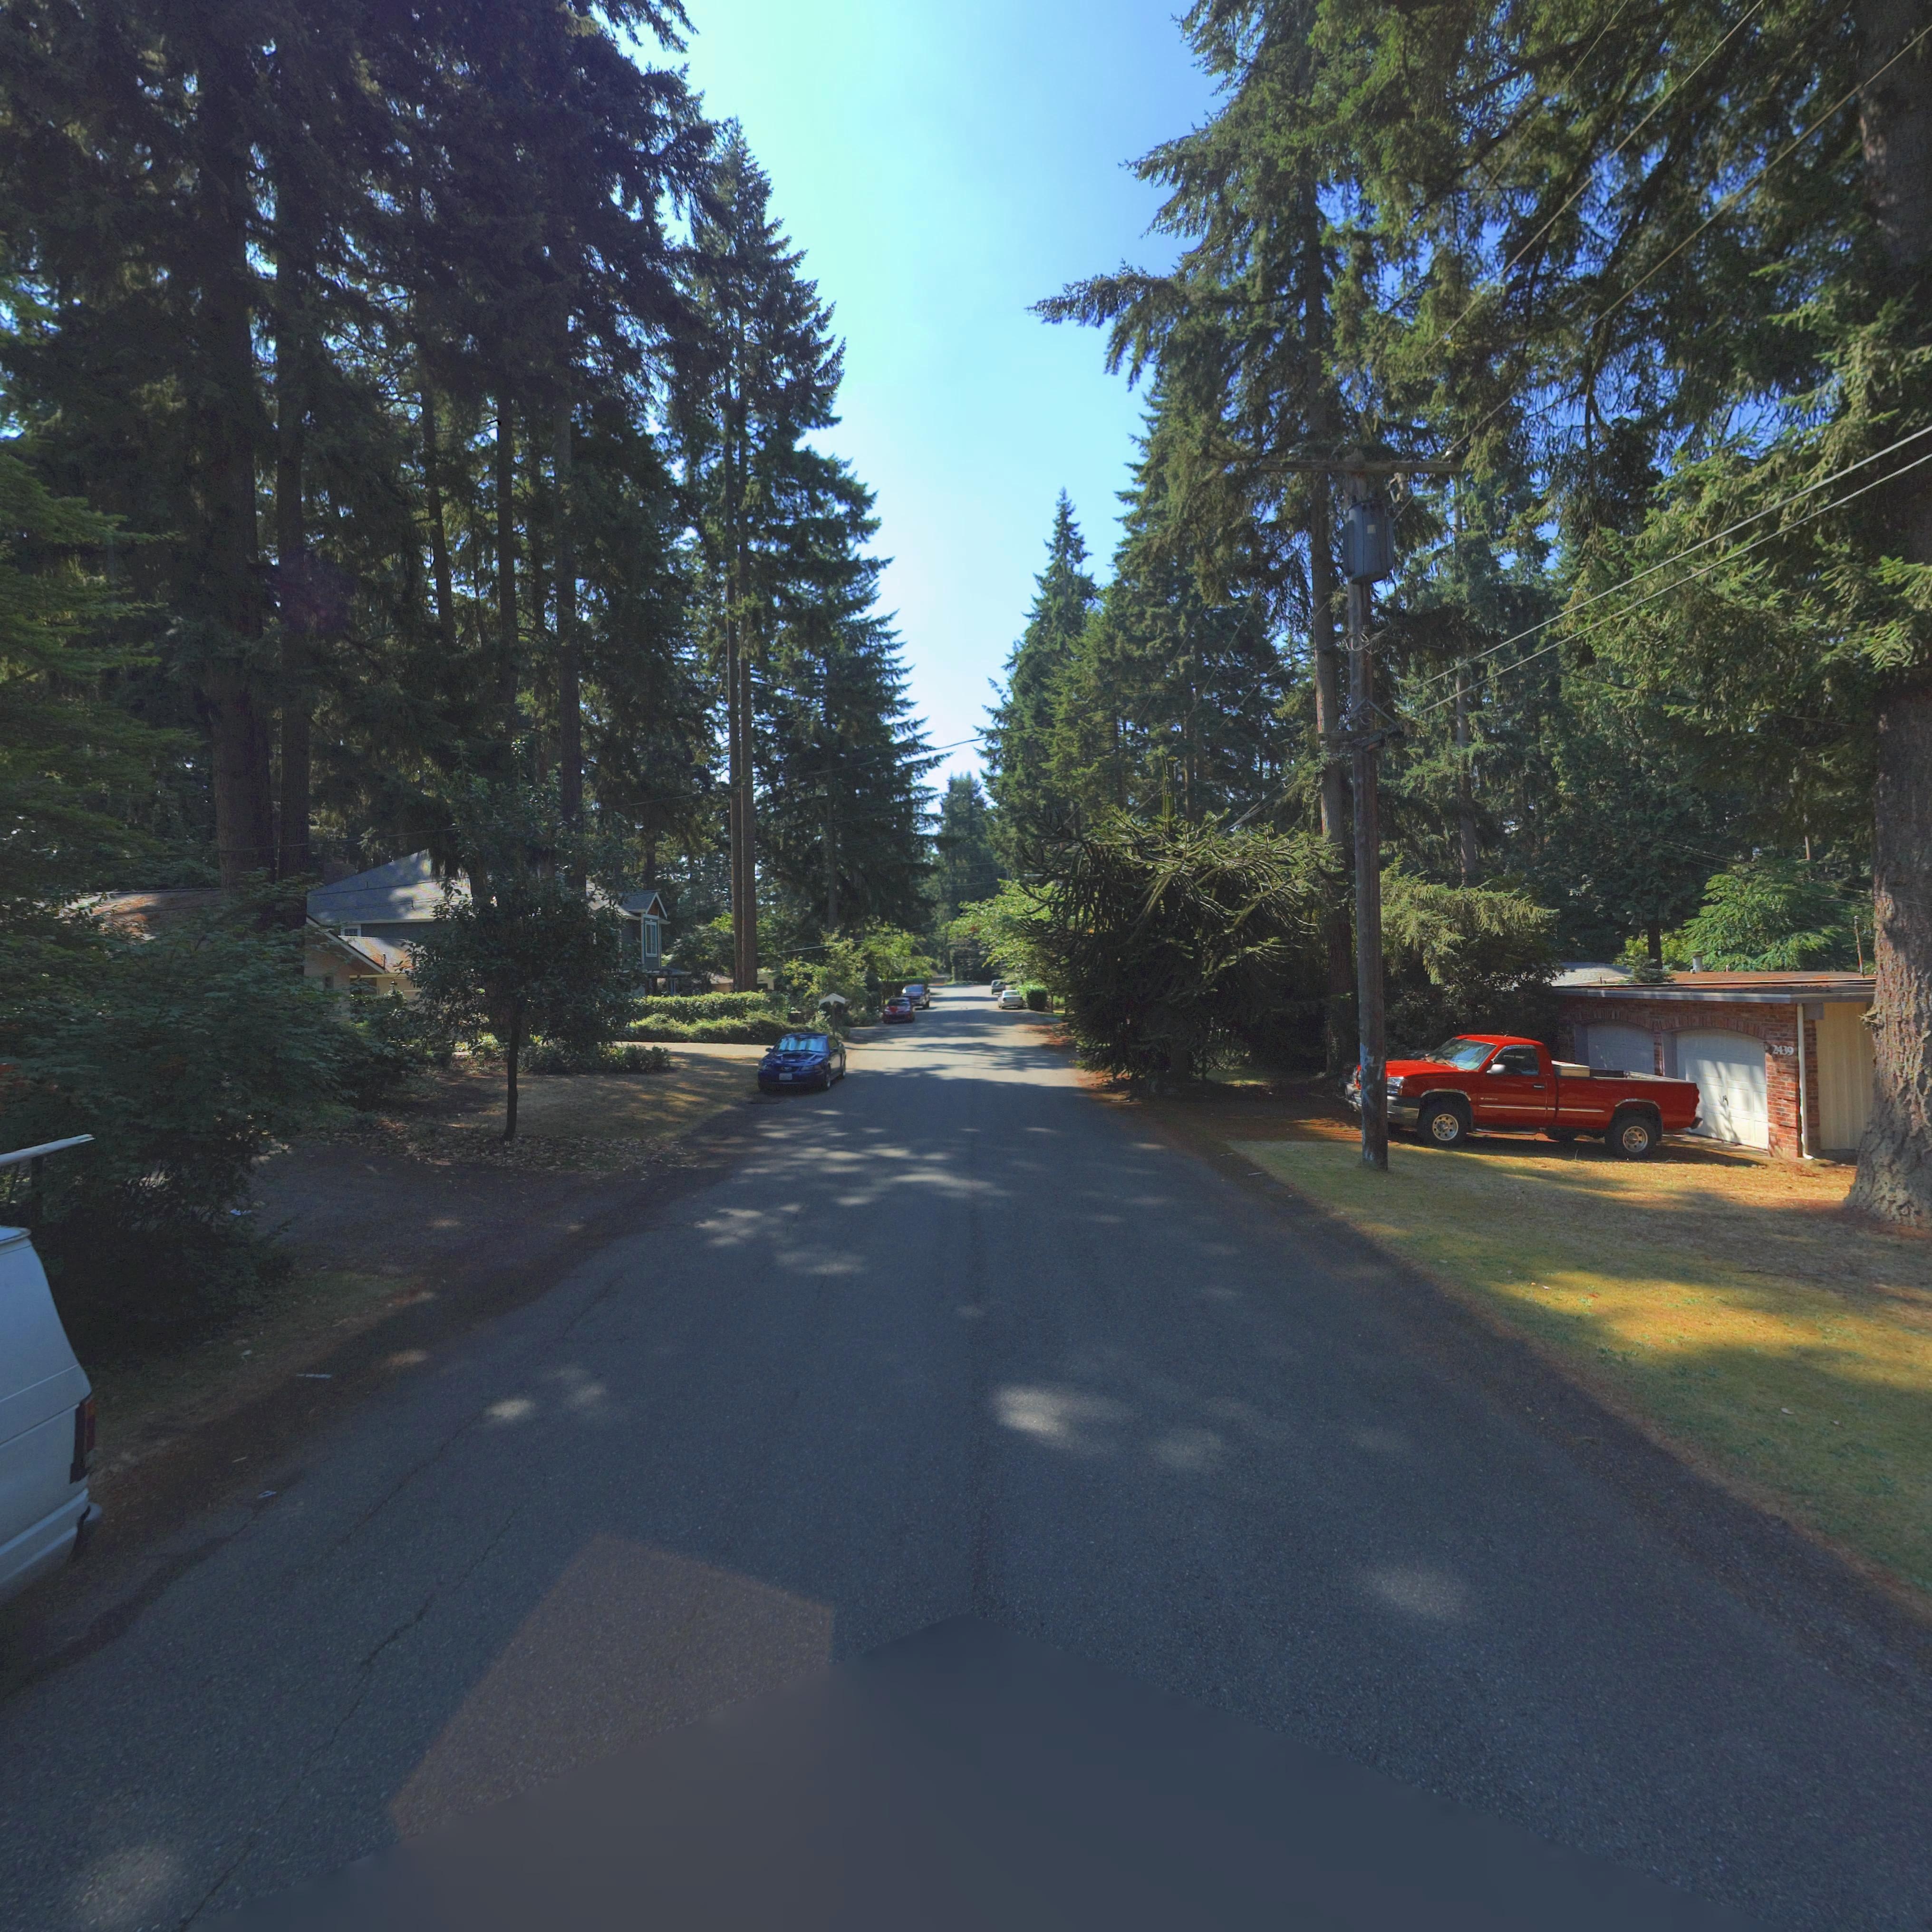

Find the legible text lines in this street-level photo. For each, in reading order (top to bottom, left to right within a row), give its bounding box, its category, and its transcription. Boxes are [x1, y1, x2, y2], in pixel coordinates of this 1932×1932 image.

[1770, 1043, 1796, 1057] StreetNumber: 2439